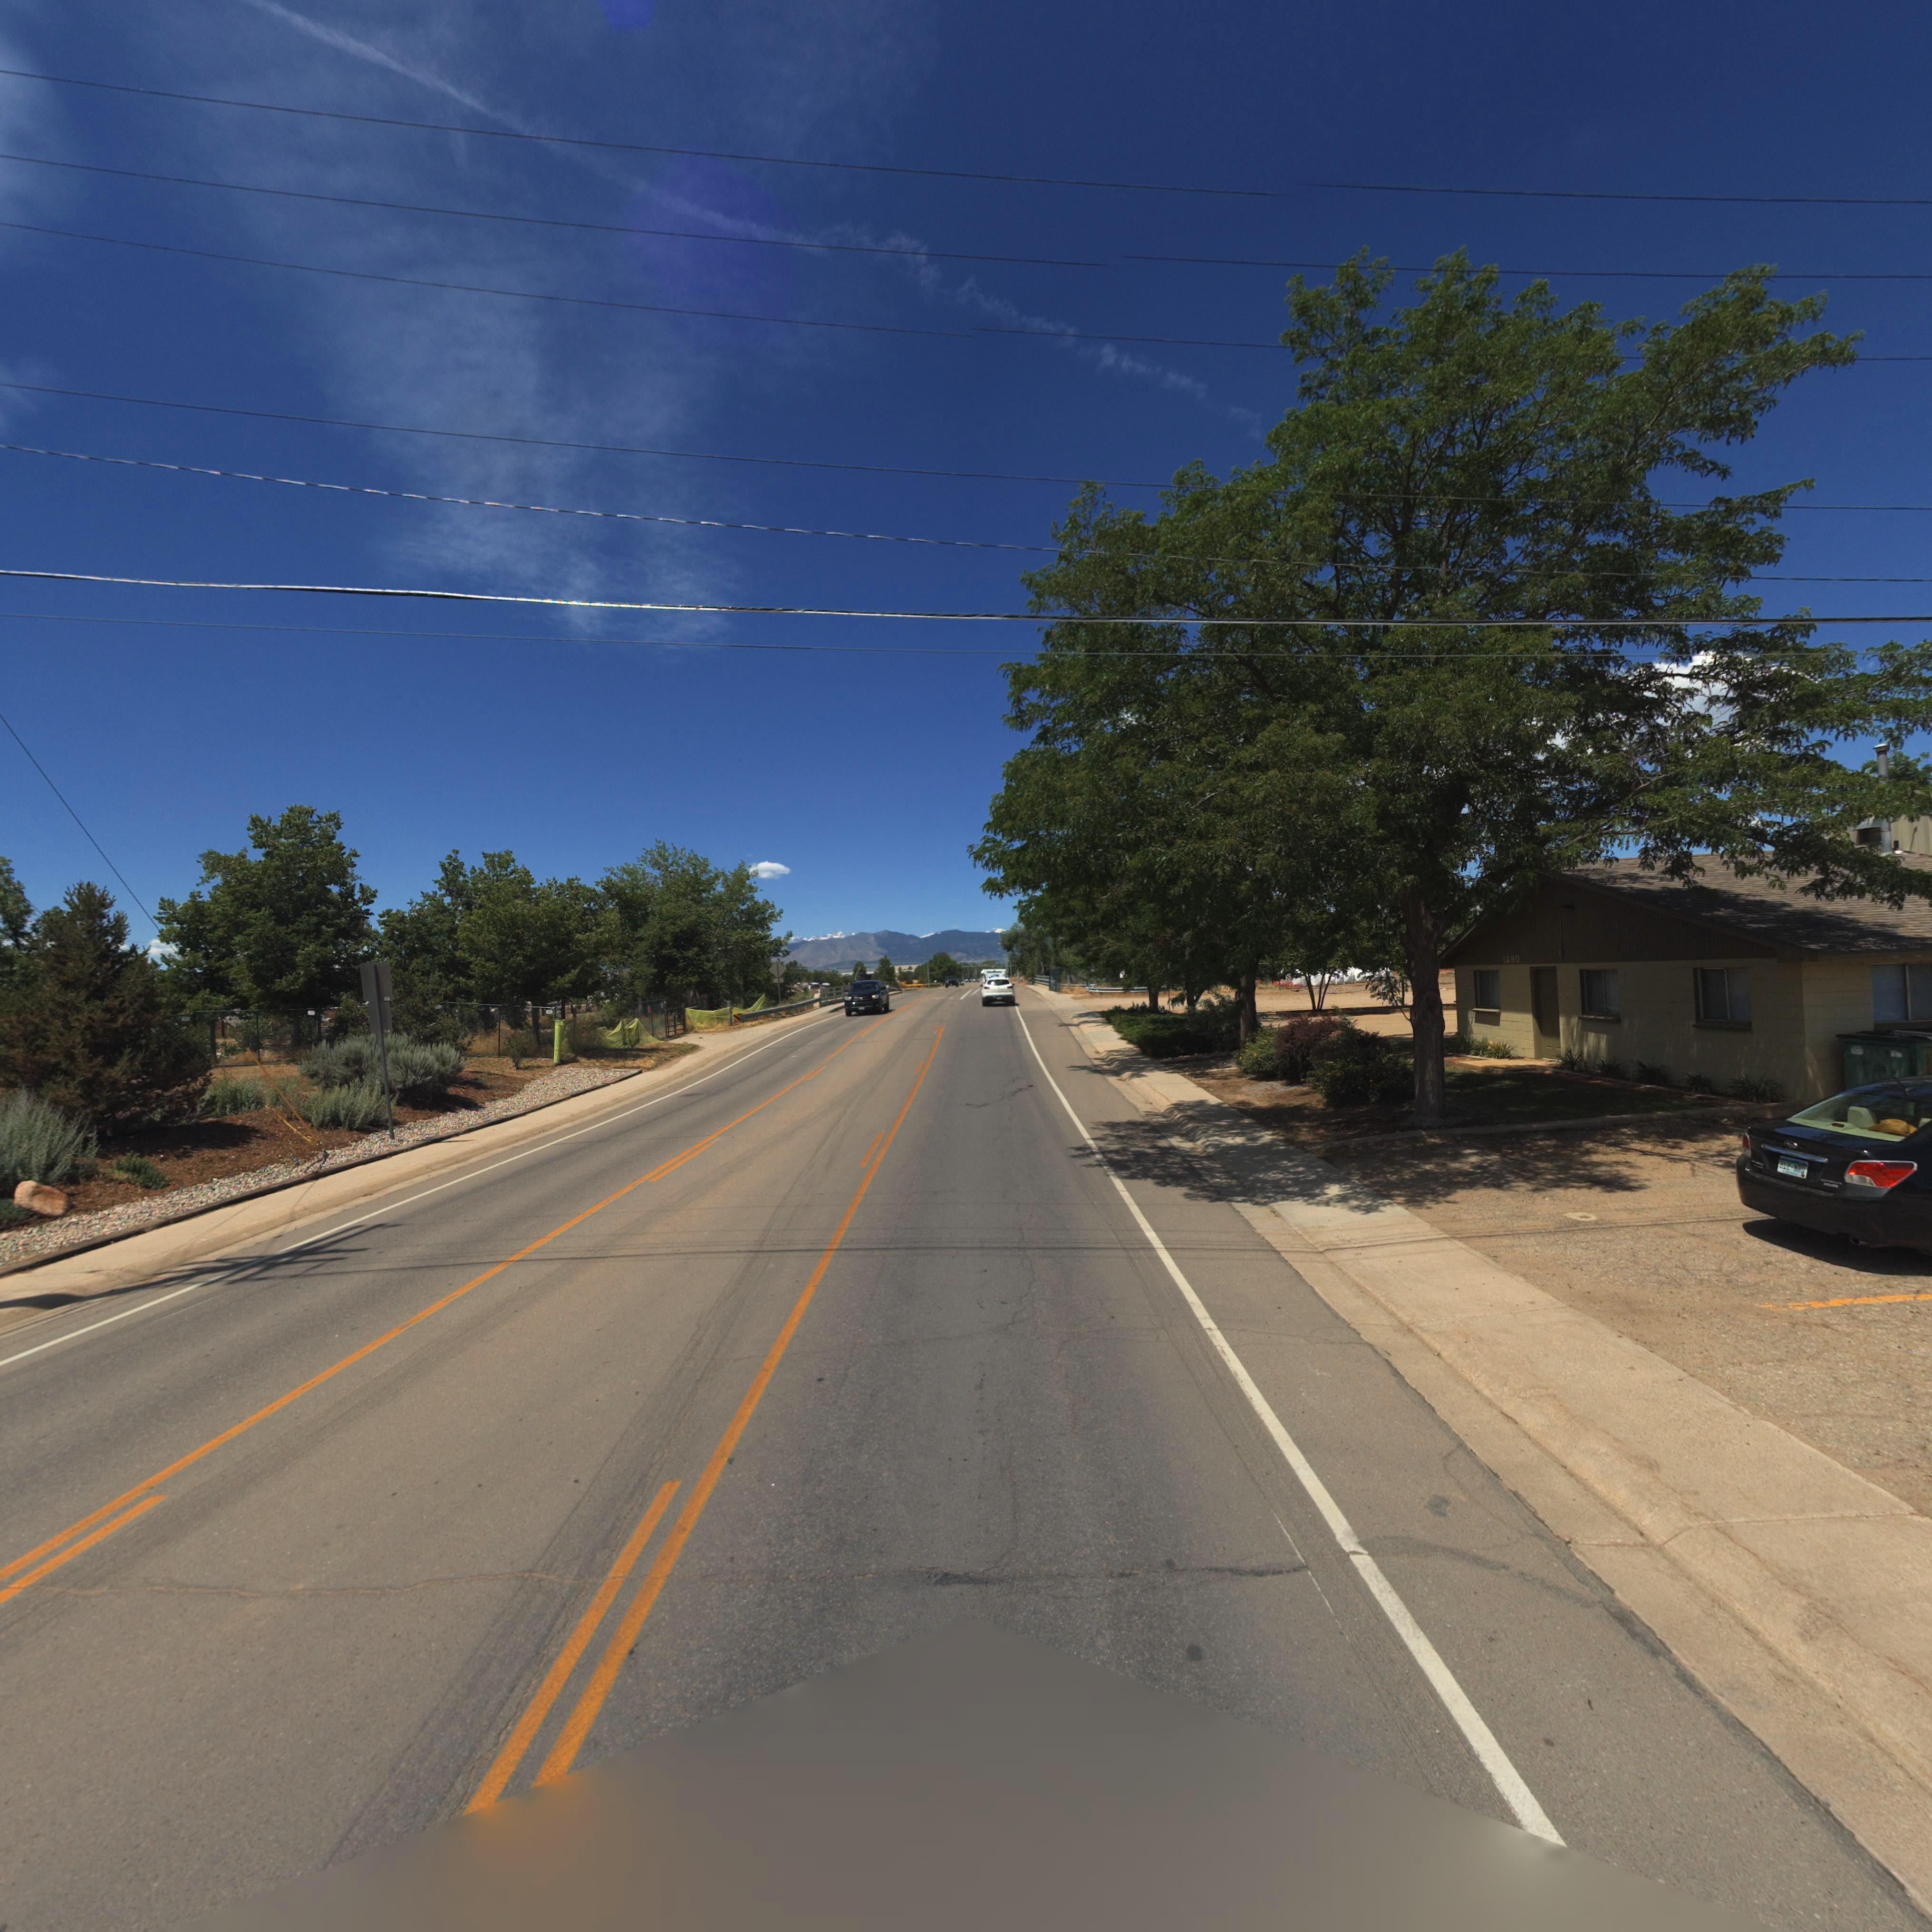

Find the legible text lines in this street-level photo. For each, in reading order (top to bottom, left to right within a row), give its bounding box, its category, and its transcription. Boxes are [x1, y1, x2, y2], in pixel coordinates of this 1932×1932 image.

[1502, 954, 1520, 964] StreetNumber: 1290